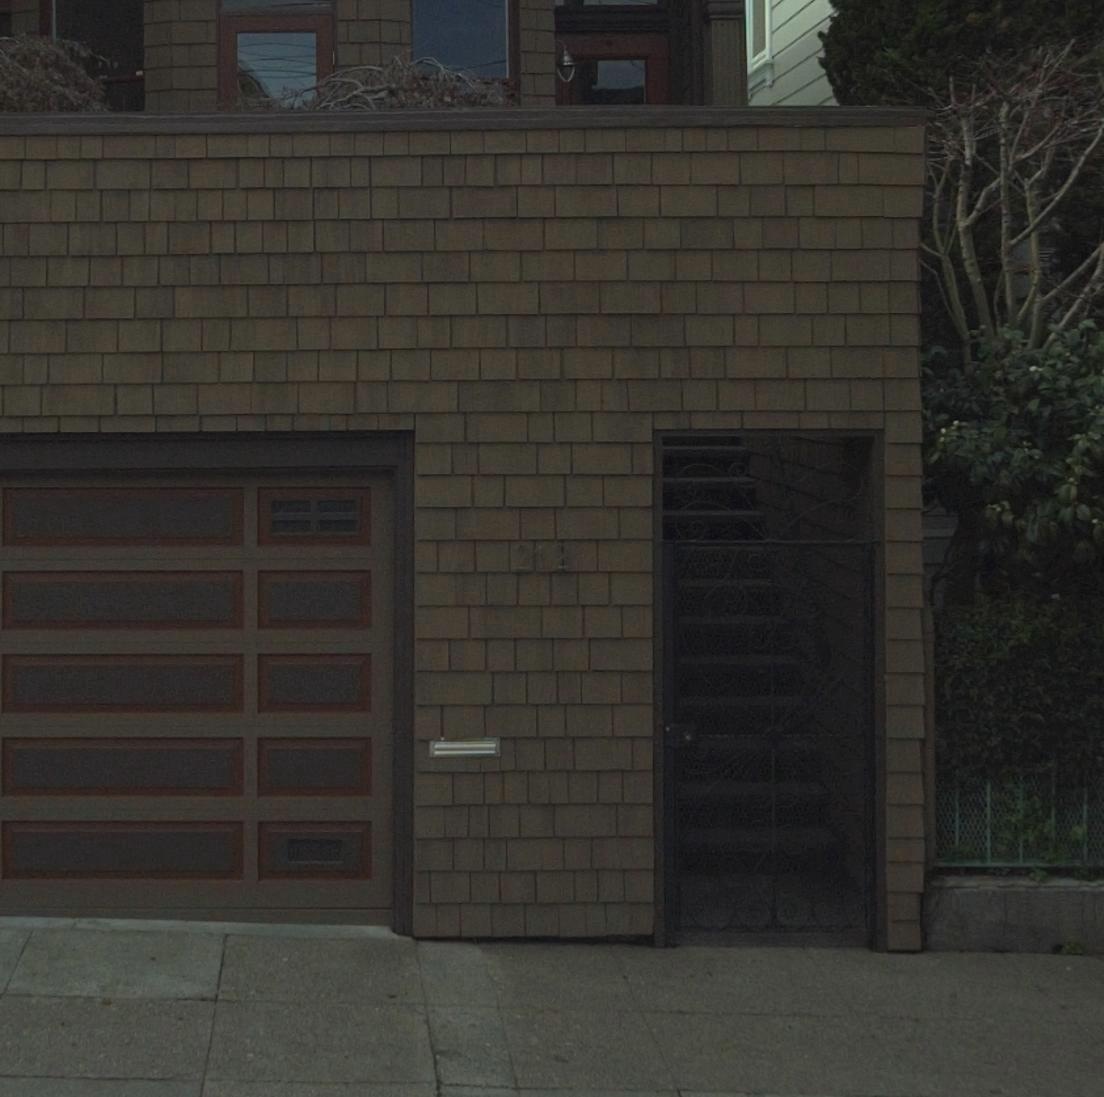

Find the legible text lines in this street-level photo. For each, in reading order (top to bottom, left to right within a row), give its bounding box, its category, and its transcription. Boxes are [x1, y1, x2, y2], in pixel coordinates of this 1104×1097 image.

[508, 540, 574, 574] StreetNumber: 212